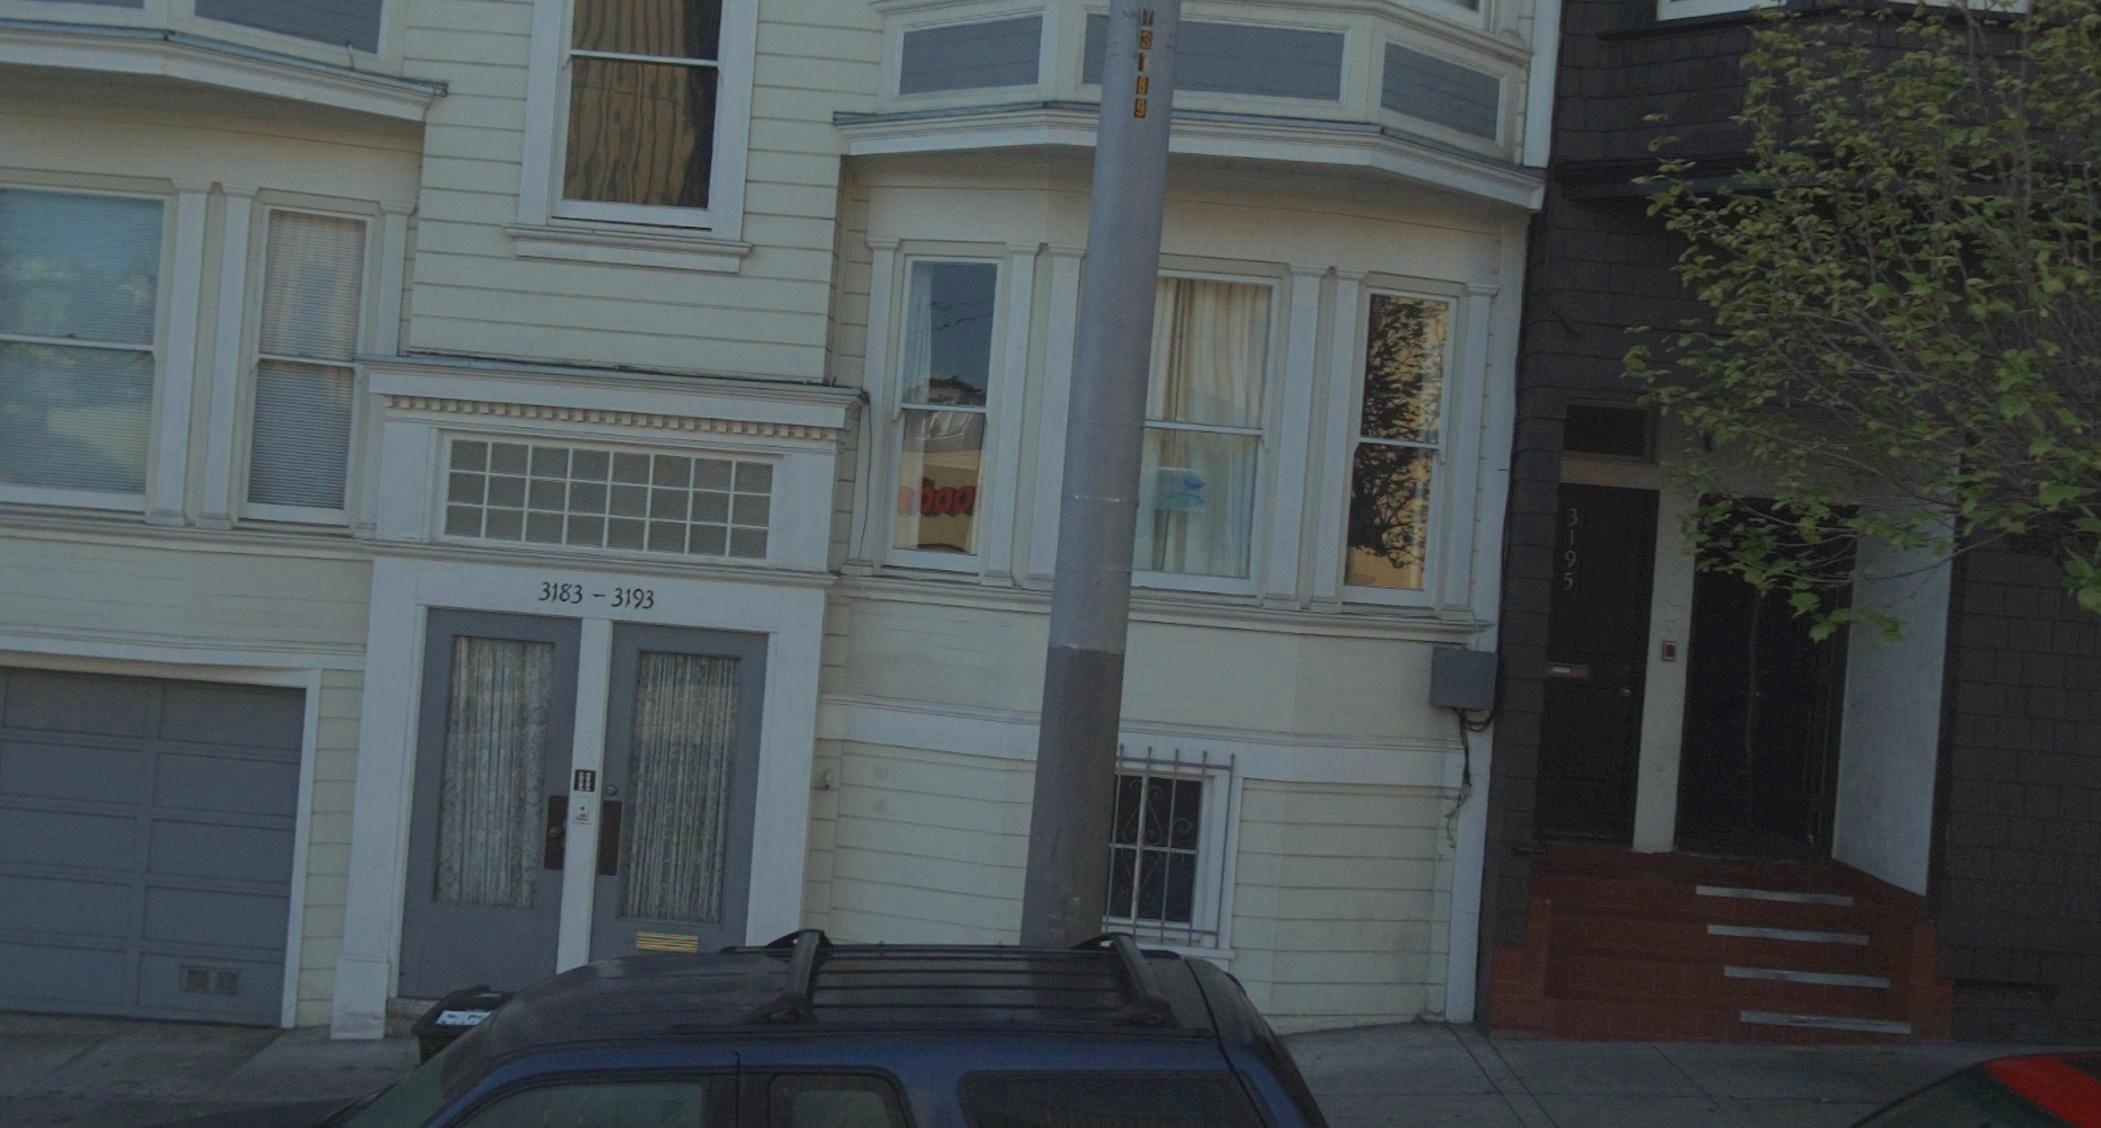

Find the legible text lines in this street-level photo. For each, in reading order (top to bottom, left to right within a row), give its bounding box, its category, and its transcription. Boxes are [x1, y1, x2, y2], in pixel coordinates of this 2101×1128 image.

[1133, 5, 1155, 119] None: *3189
[909, 471, 979, 518] None: boo
[1559, 505, 1583, 595] StreetNumber: 3195
[534, 579, 586, 606] StreetNumber: 3183
[607, 583, 658, 613] StreetNumber: 3193